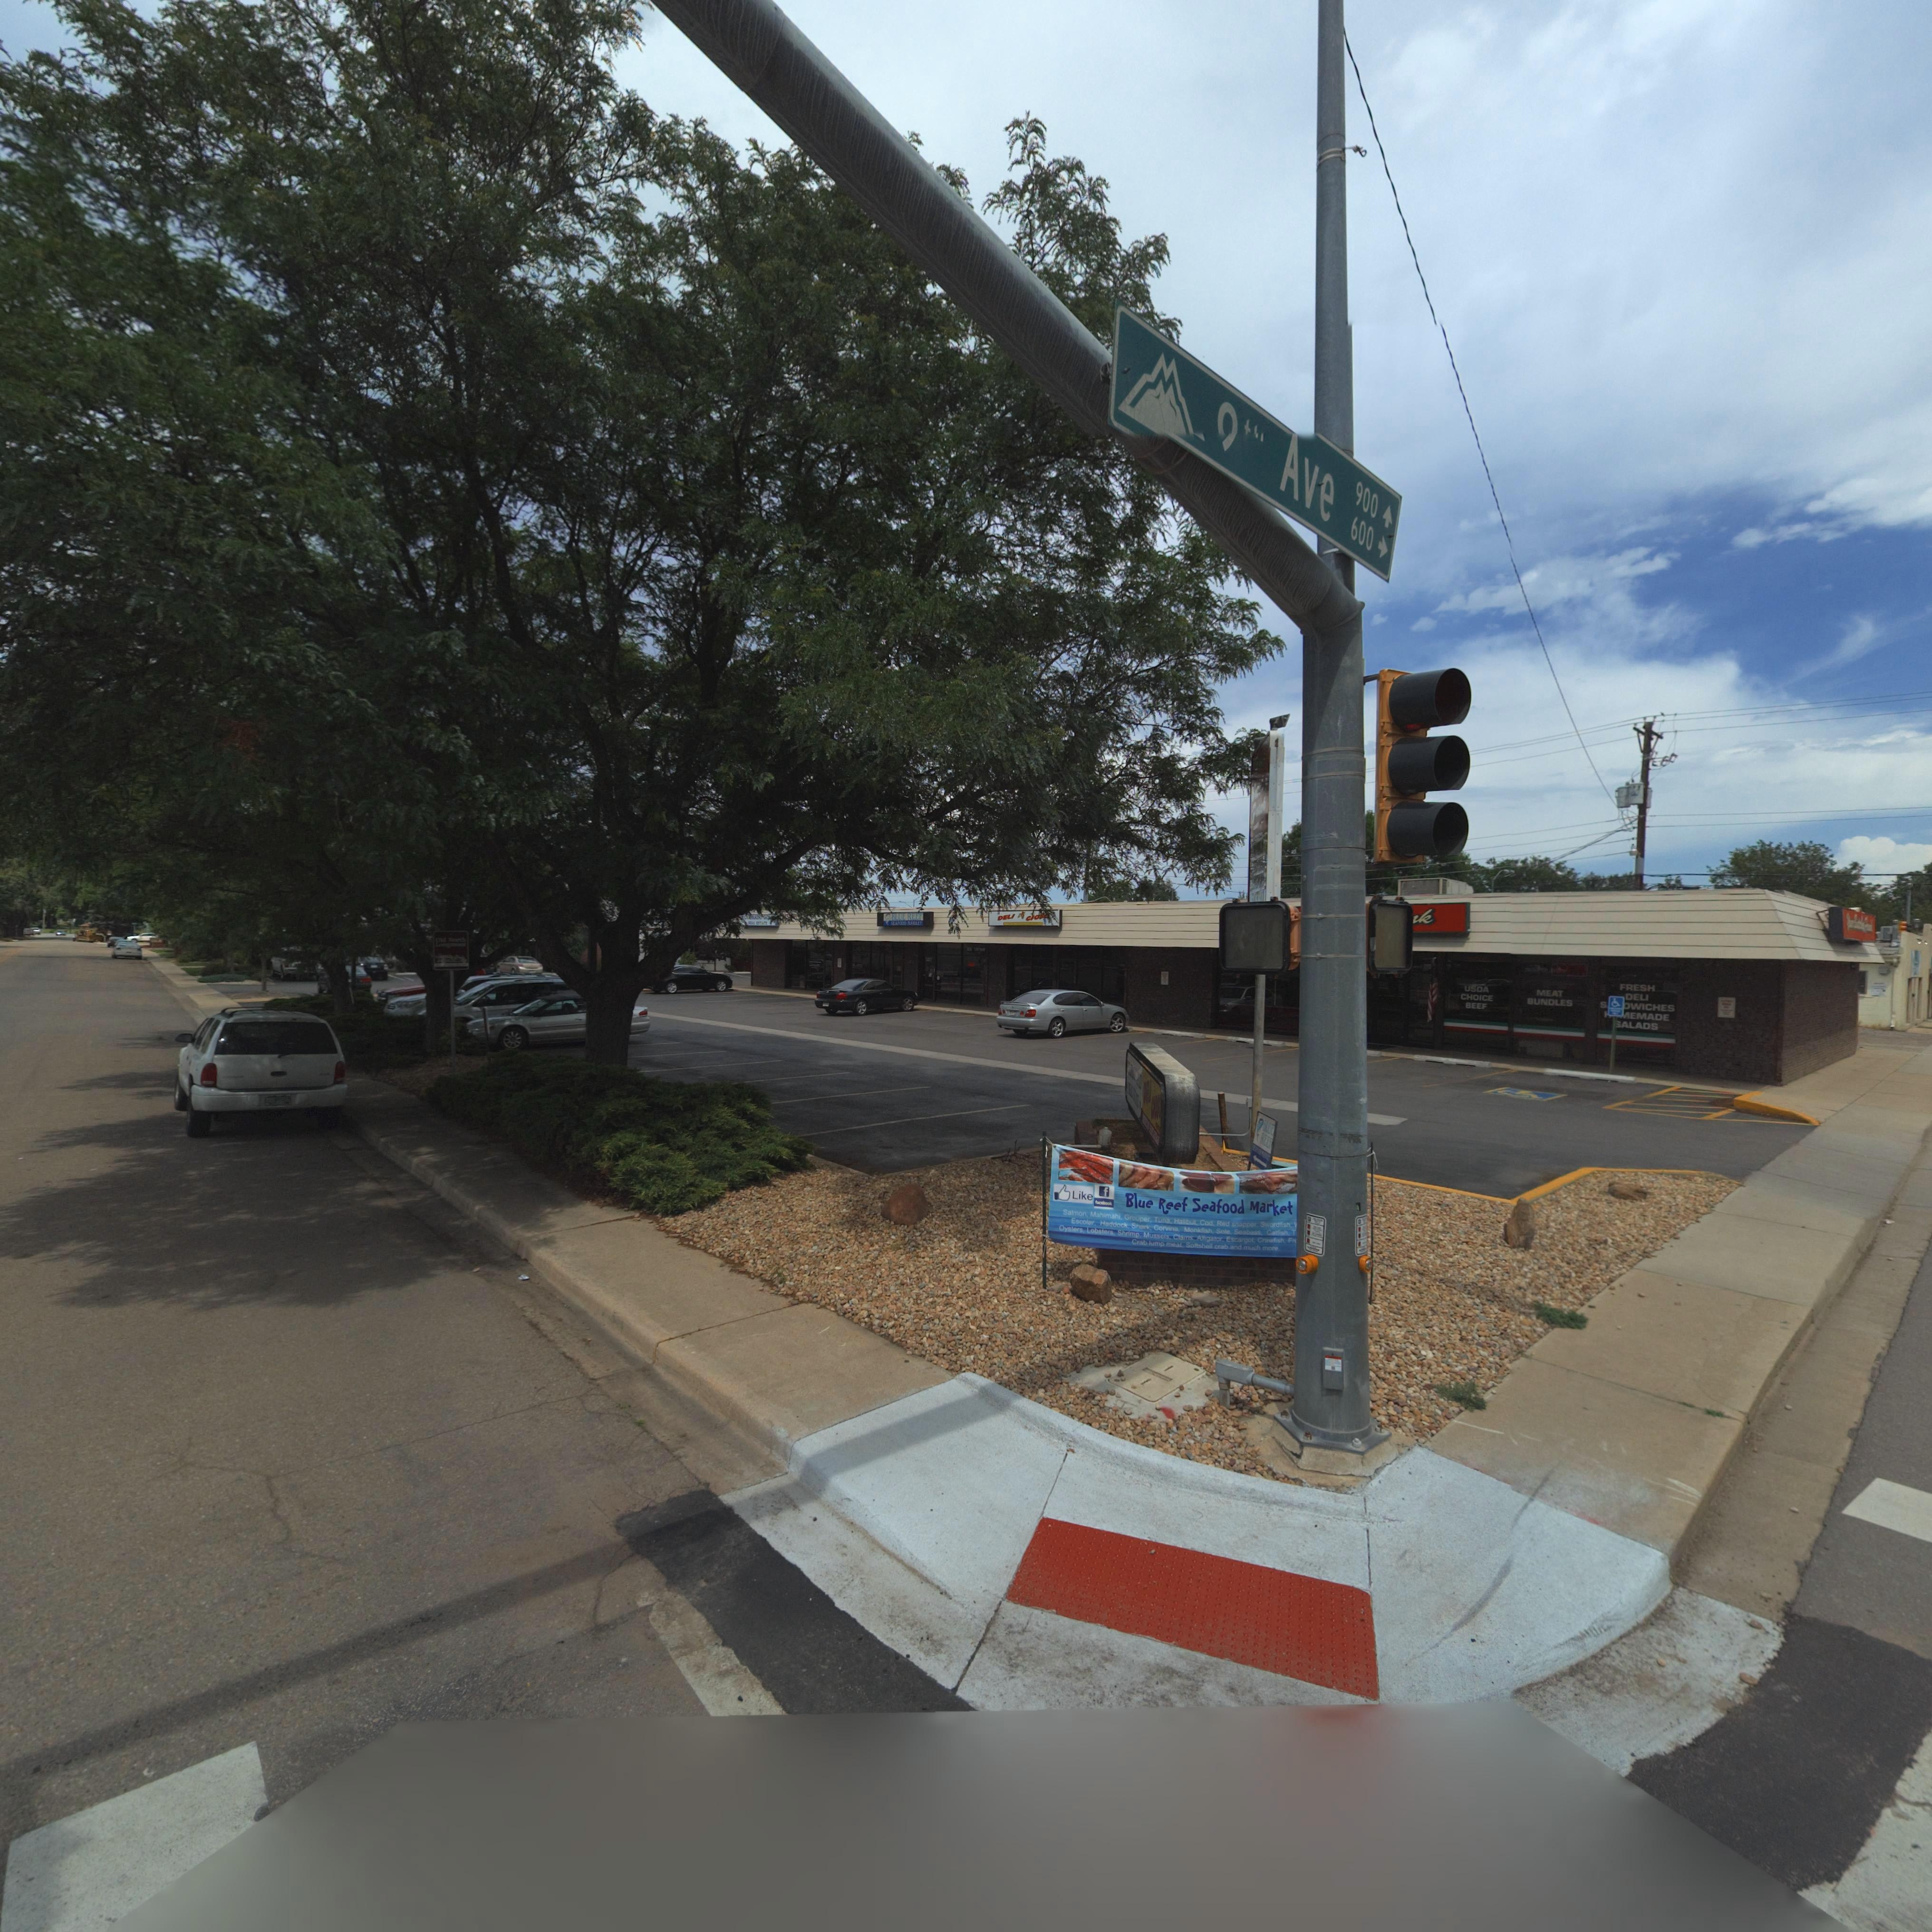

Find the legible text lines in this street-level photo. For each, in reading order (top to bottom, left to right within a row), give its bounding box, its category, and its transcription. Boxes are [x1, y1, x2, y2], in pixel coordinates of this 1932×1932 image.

[1216, 399, 1337, 523] StreetName: *** Ave
[1353, 480, 1381, 521] StreetNumberRange: 900
[1349, 514, 1390, 560] StreetNumberRange: 600 ->
[741, 915, 774, 919] BusinessName: COLORADO GO**
[891, 913, 922, 920] BusinessName: BLUE REEF
[997, 913, 1015, 920] BusinessName: DELI
[1025, 912, 1049, 921] BusinessName: CIO**
[1412, 908, 1433, 924] BusinessName: *k
[748, 921, 767, 925] BusinessName: **** ESTATE
[890, 921, 922, 925] BusinessName: SEAFOOD MARKET
[1125, 1192, 1293, 1216] BusinessName: Blue Reef Seafood Market